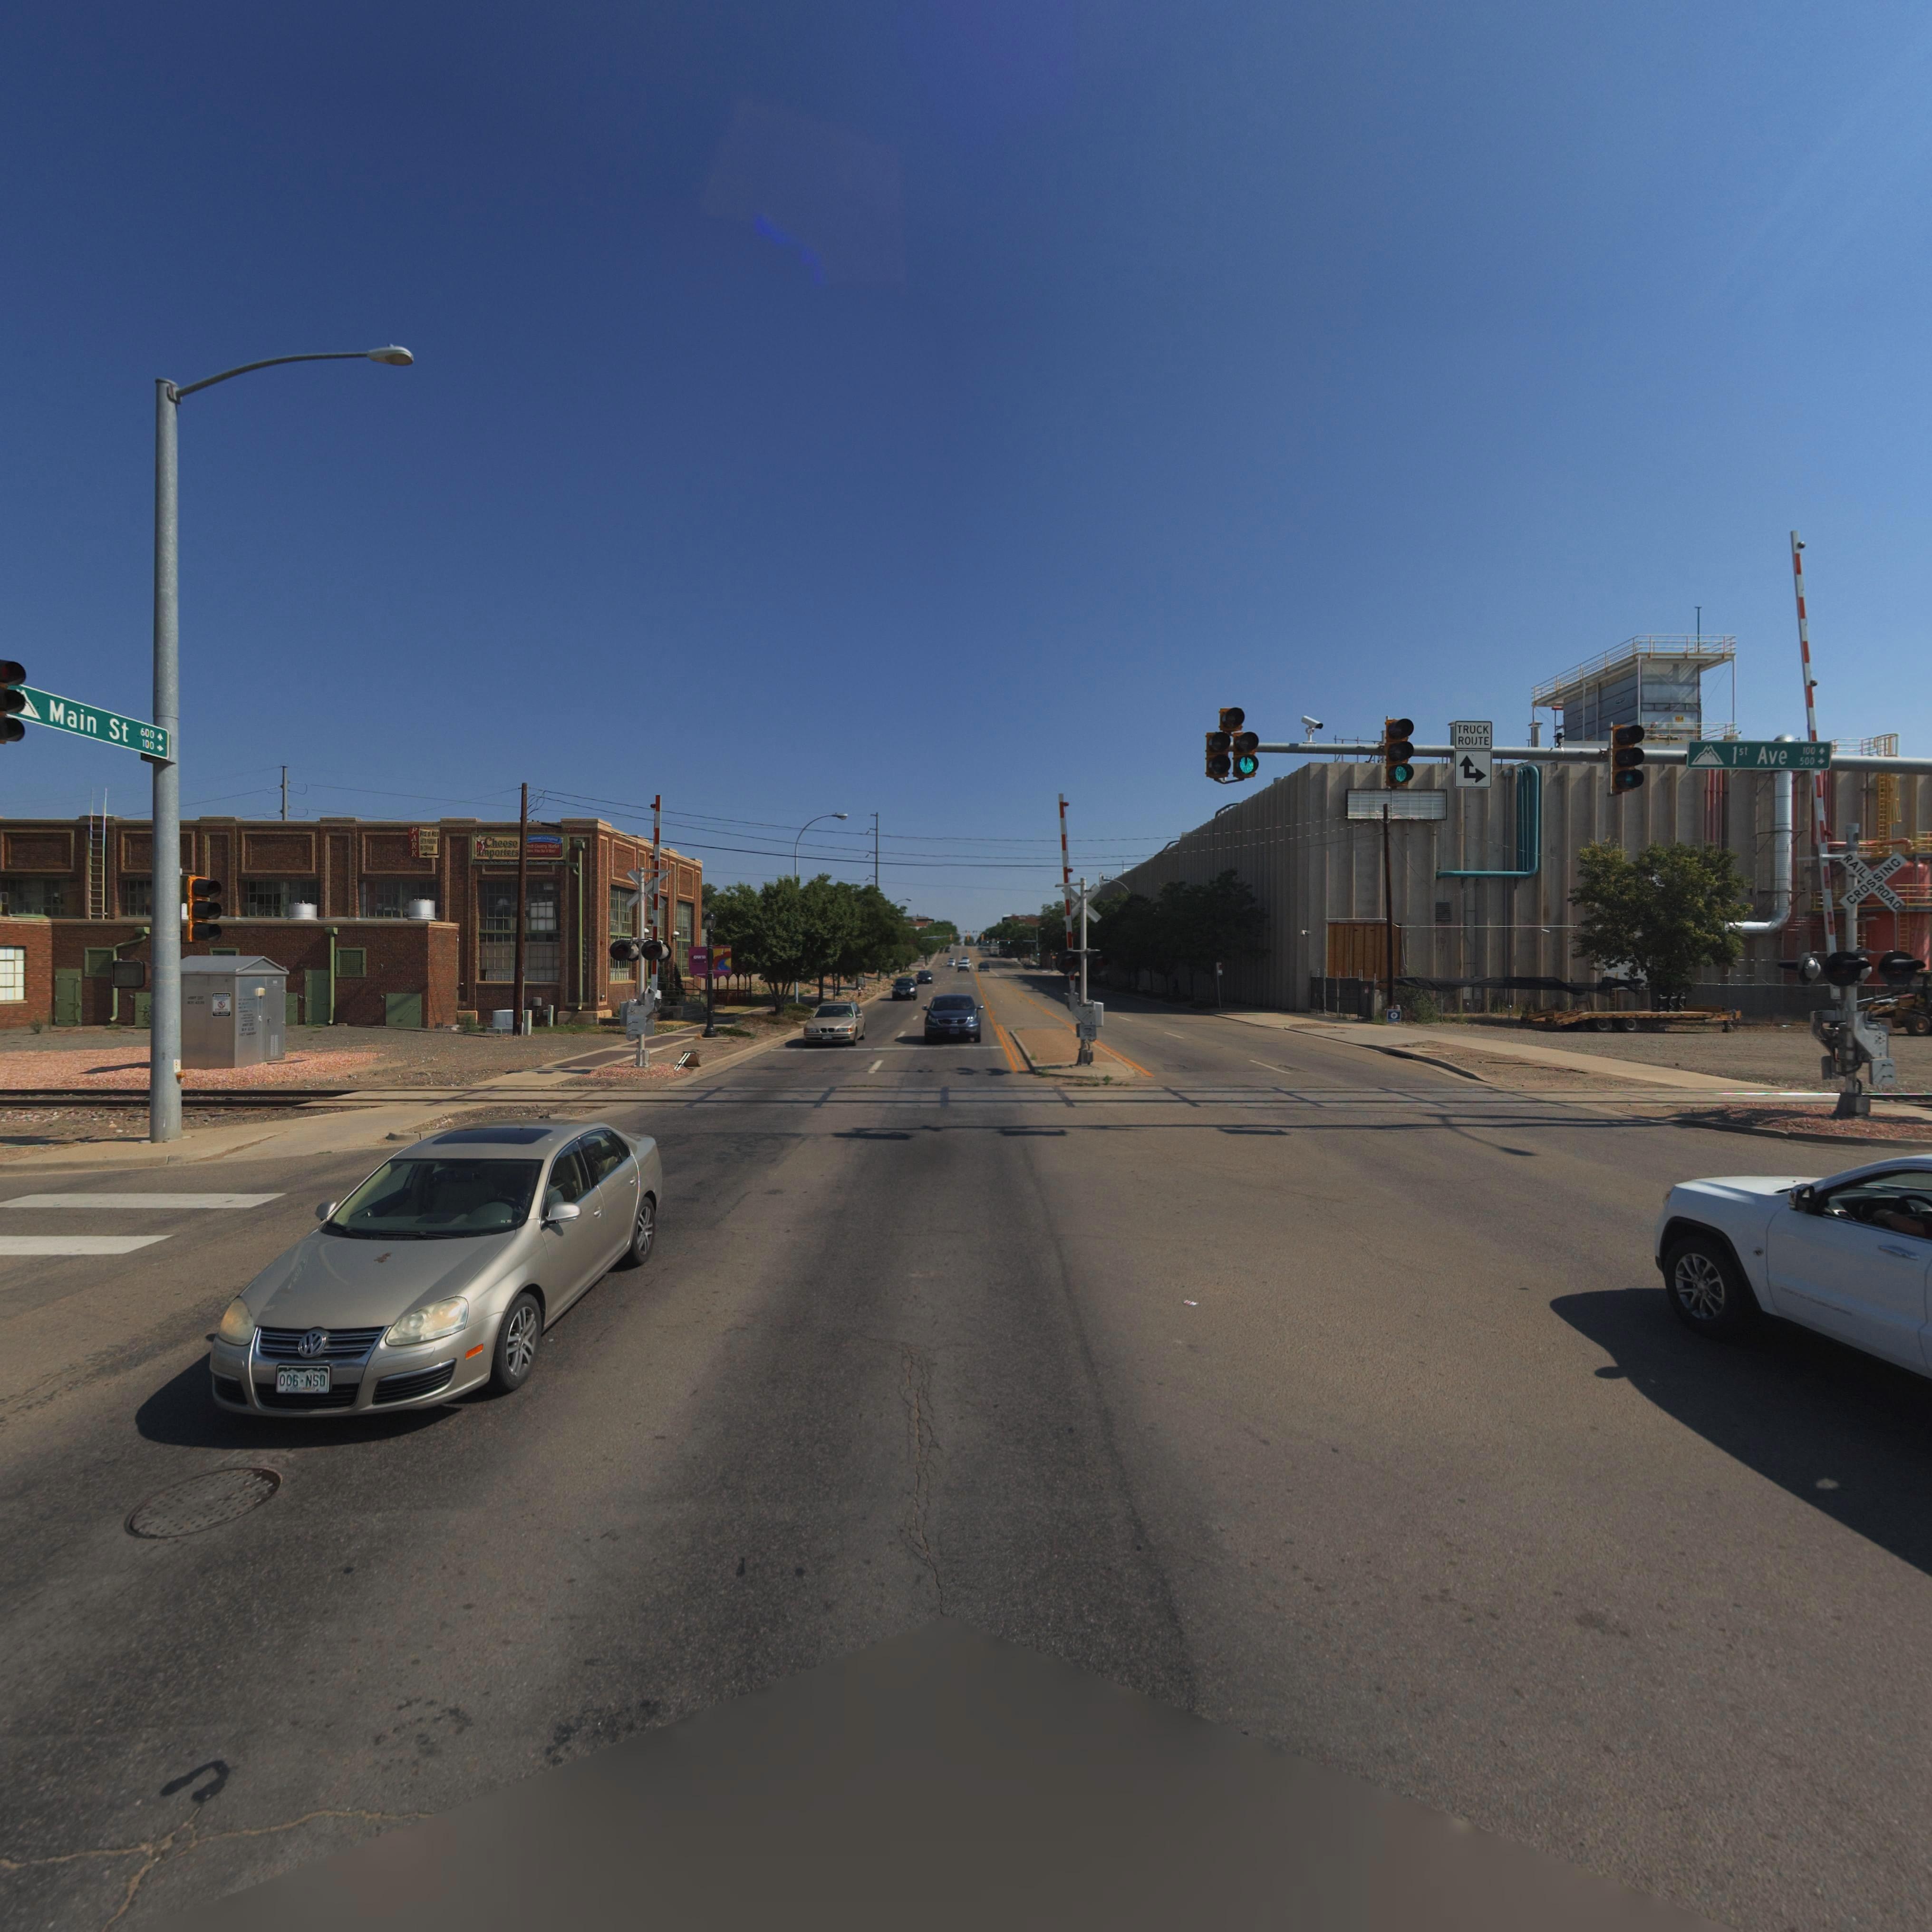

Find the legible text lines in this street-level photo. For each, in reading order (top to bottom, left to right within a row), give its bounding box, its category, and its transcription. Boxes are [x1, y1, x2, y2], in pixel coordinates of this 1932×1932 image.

[49, 698, 130, 744] StreetName: Main St
[140, 726, 155, 740] StreetNumberRange: 600
[142, 738, 164, 753] StreetNumberRange: 100 ->
[1731, 745, 1787, 766] StreetName: 1st Ave
[1802, 746, 1816, 754] StreetNumberRange: 100
[1799, 756, 1825, 765] StreetNumberRange: 500 ->
[484, 835, 519, 848] BusinessName: Cheese
[478, 845, 519, 860] BusinessName: Importers